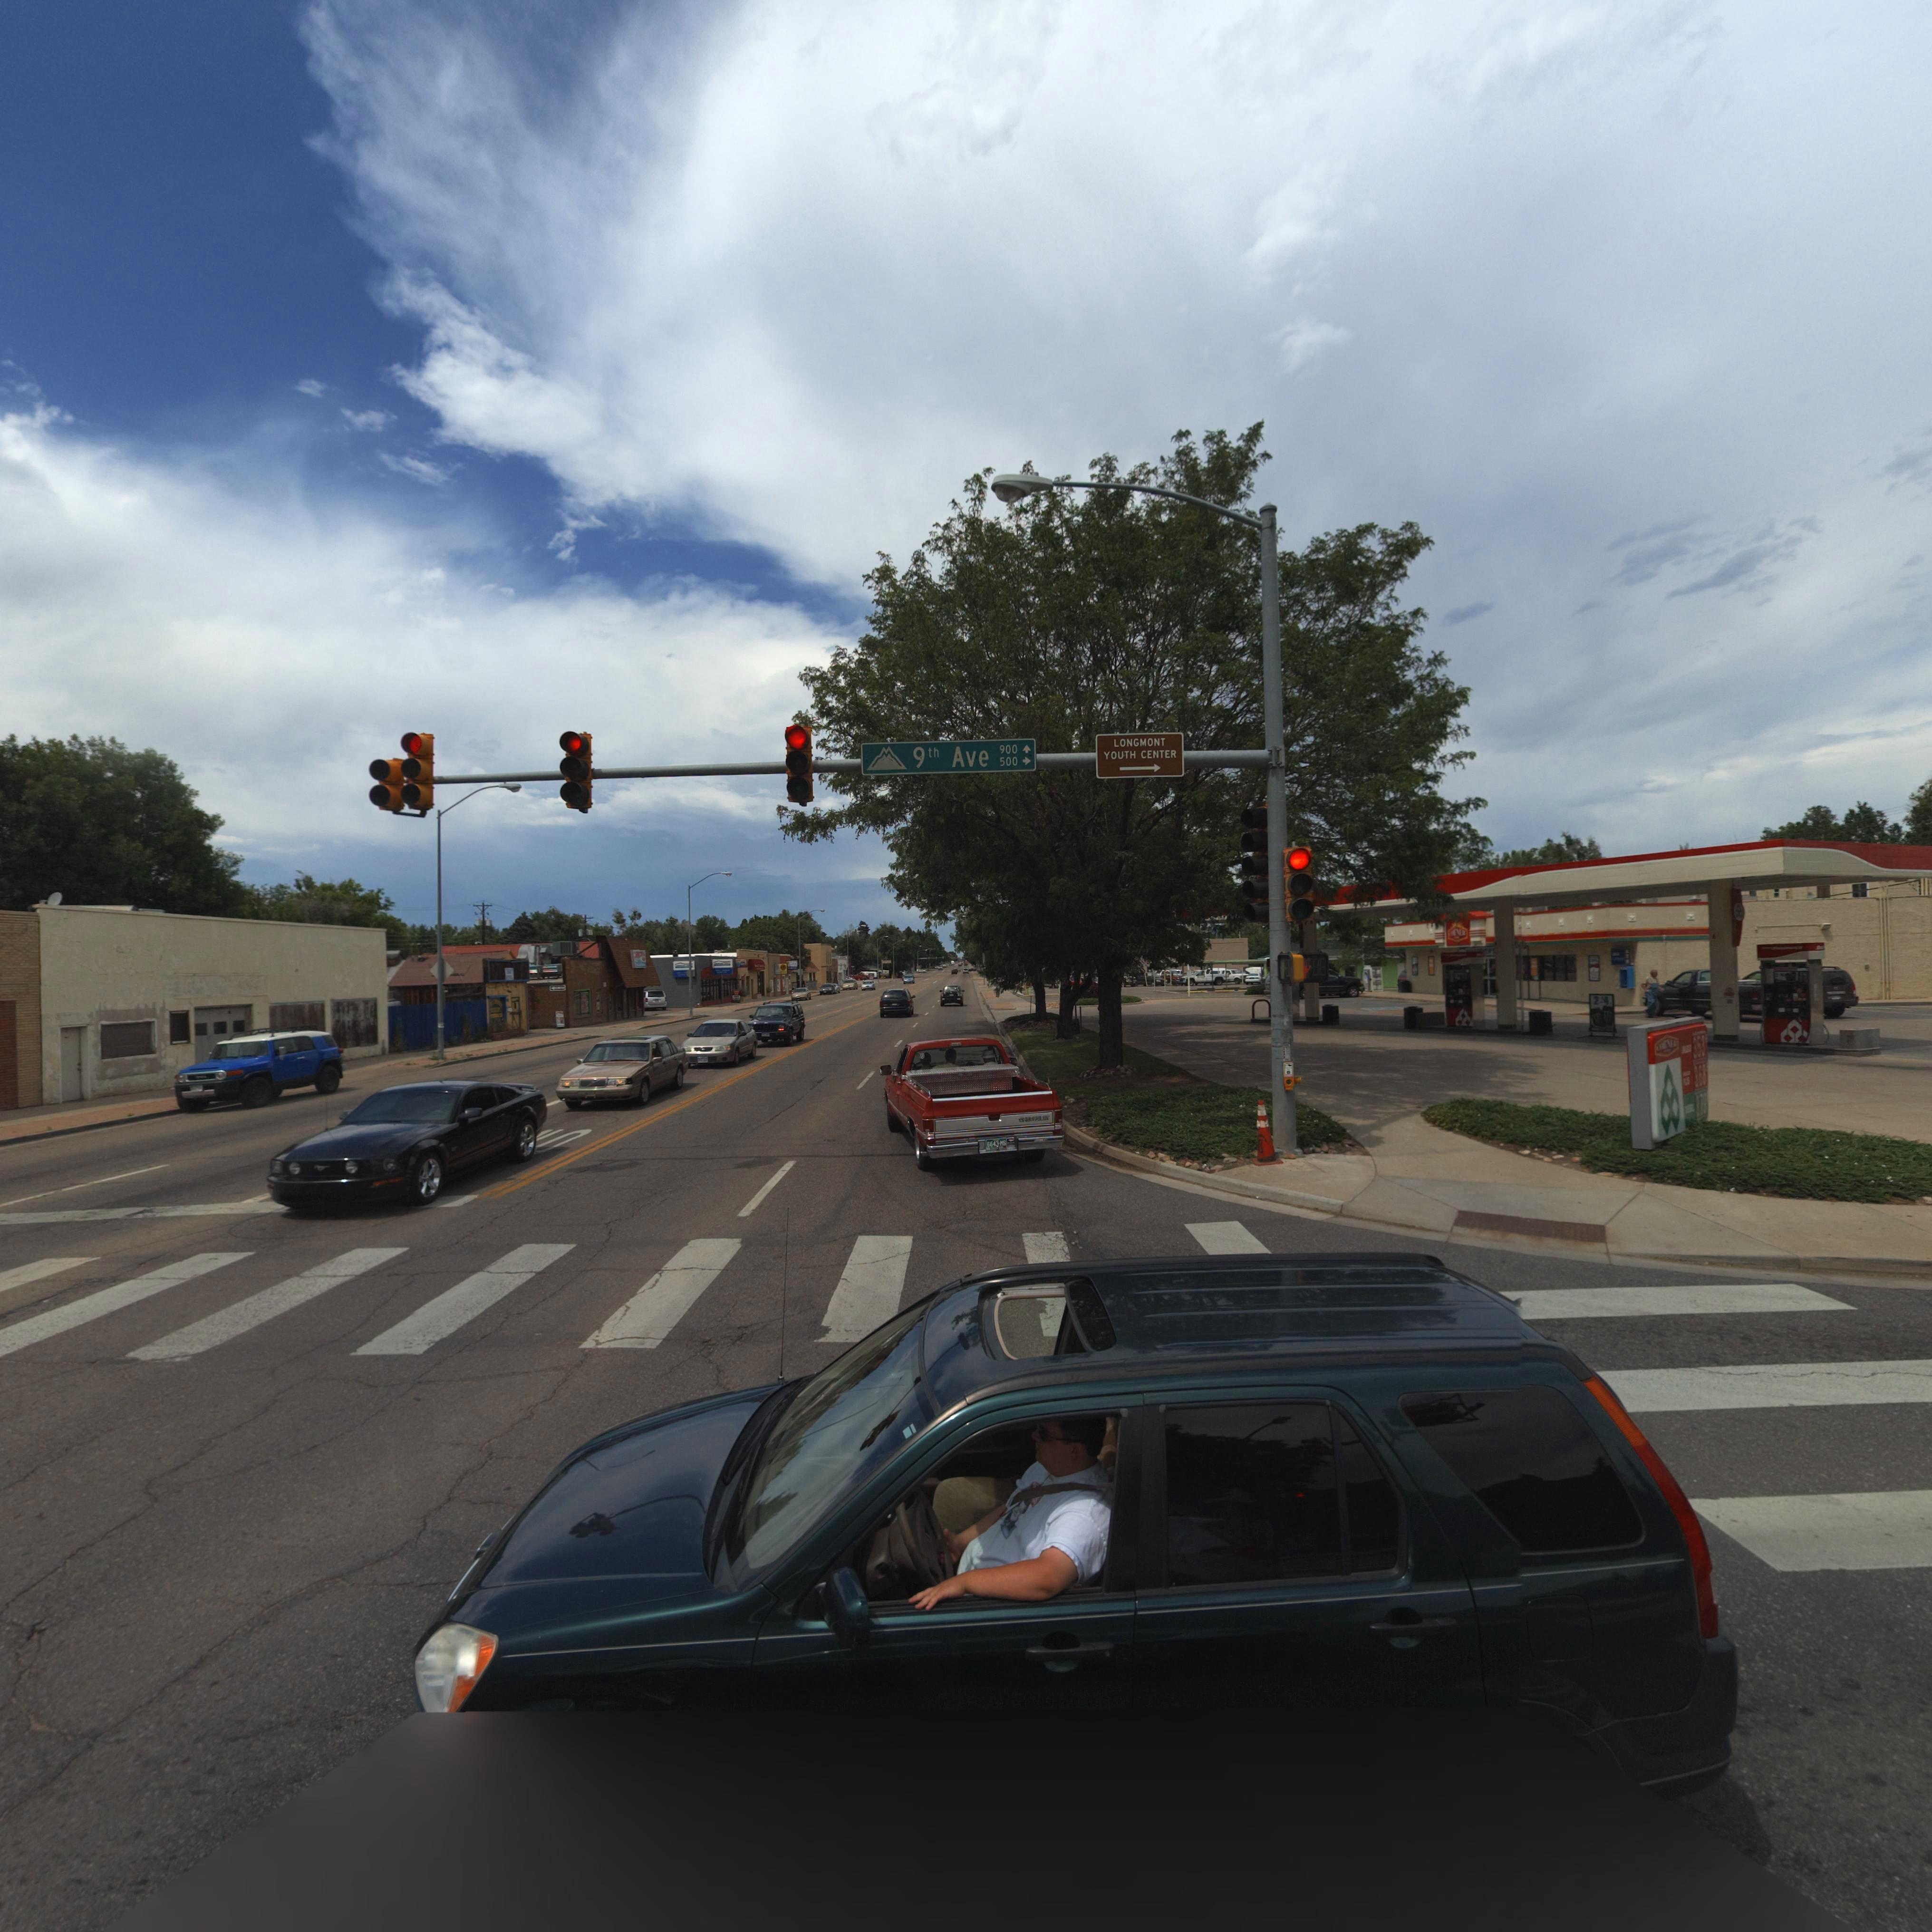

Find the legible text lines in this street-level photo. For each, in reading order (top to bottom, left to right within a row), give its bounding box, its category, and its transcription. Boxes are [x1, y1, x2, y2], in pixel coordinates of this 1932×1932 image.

[999, 744, 1017, 754] StreetNumberRange: 900
[912, 745, 989, 769] StreetName: 9th Ave
[999, 756, 1032, 766] StreetNumberRange: 500->
[1447, 927, 1466, 936] BusinessName: CORNER
[1656, 1038, 1677, 1052] BusinessName: CORNER